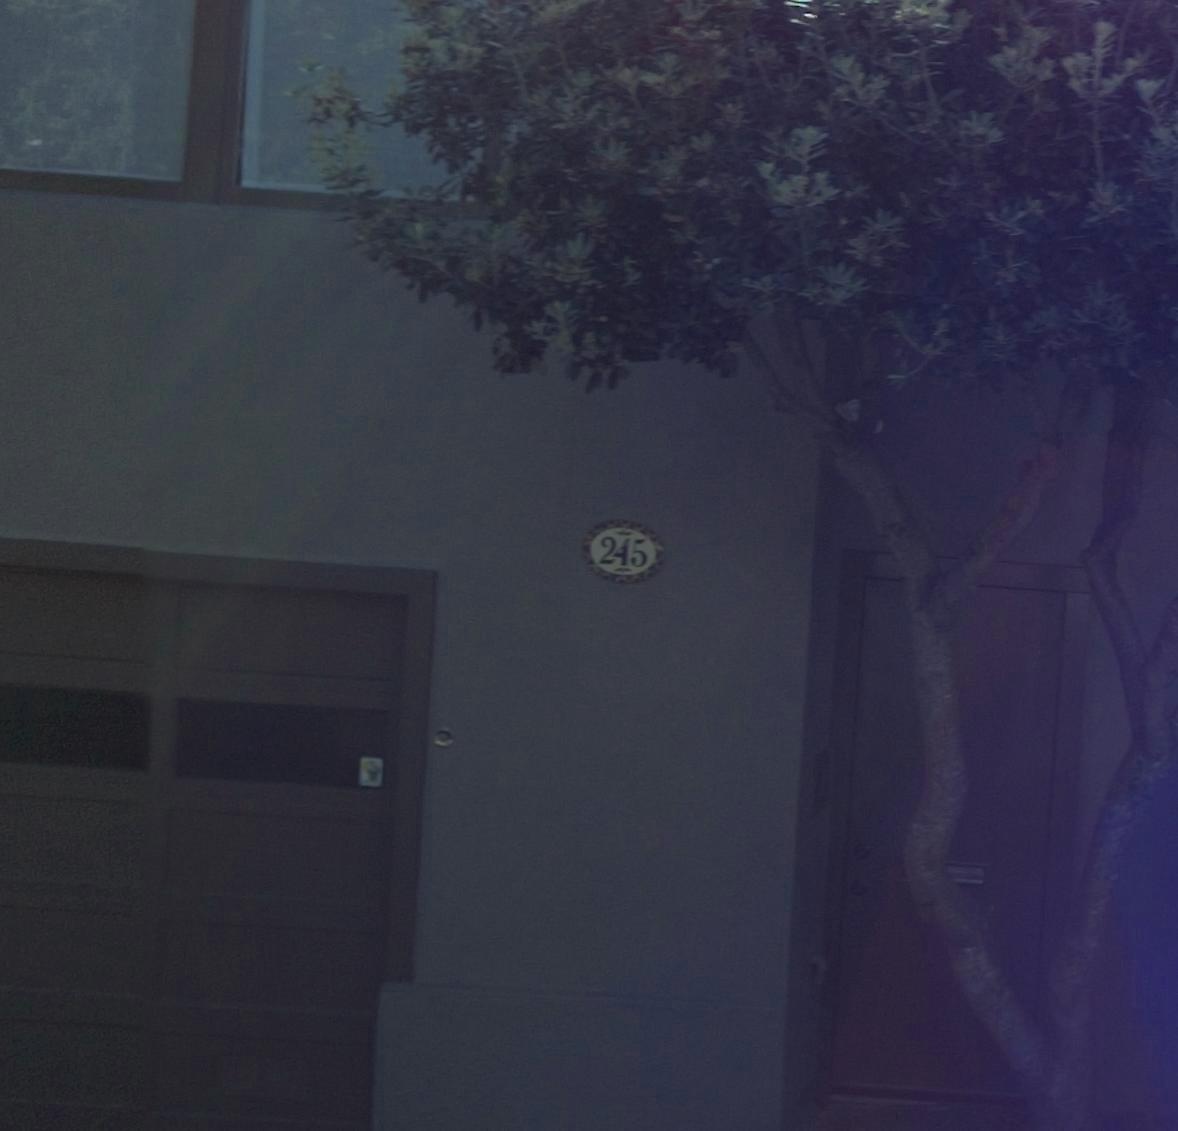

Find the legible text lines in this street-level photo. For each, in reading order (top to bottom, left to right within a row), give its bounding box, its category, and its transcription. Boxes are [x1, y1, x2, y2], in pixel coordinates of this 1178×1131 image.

[597, 535, 650, 568] StreetNumber: 245